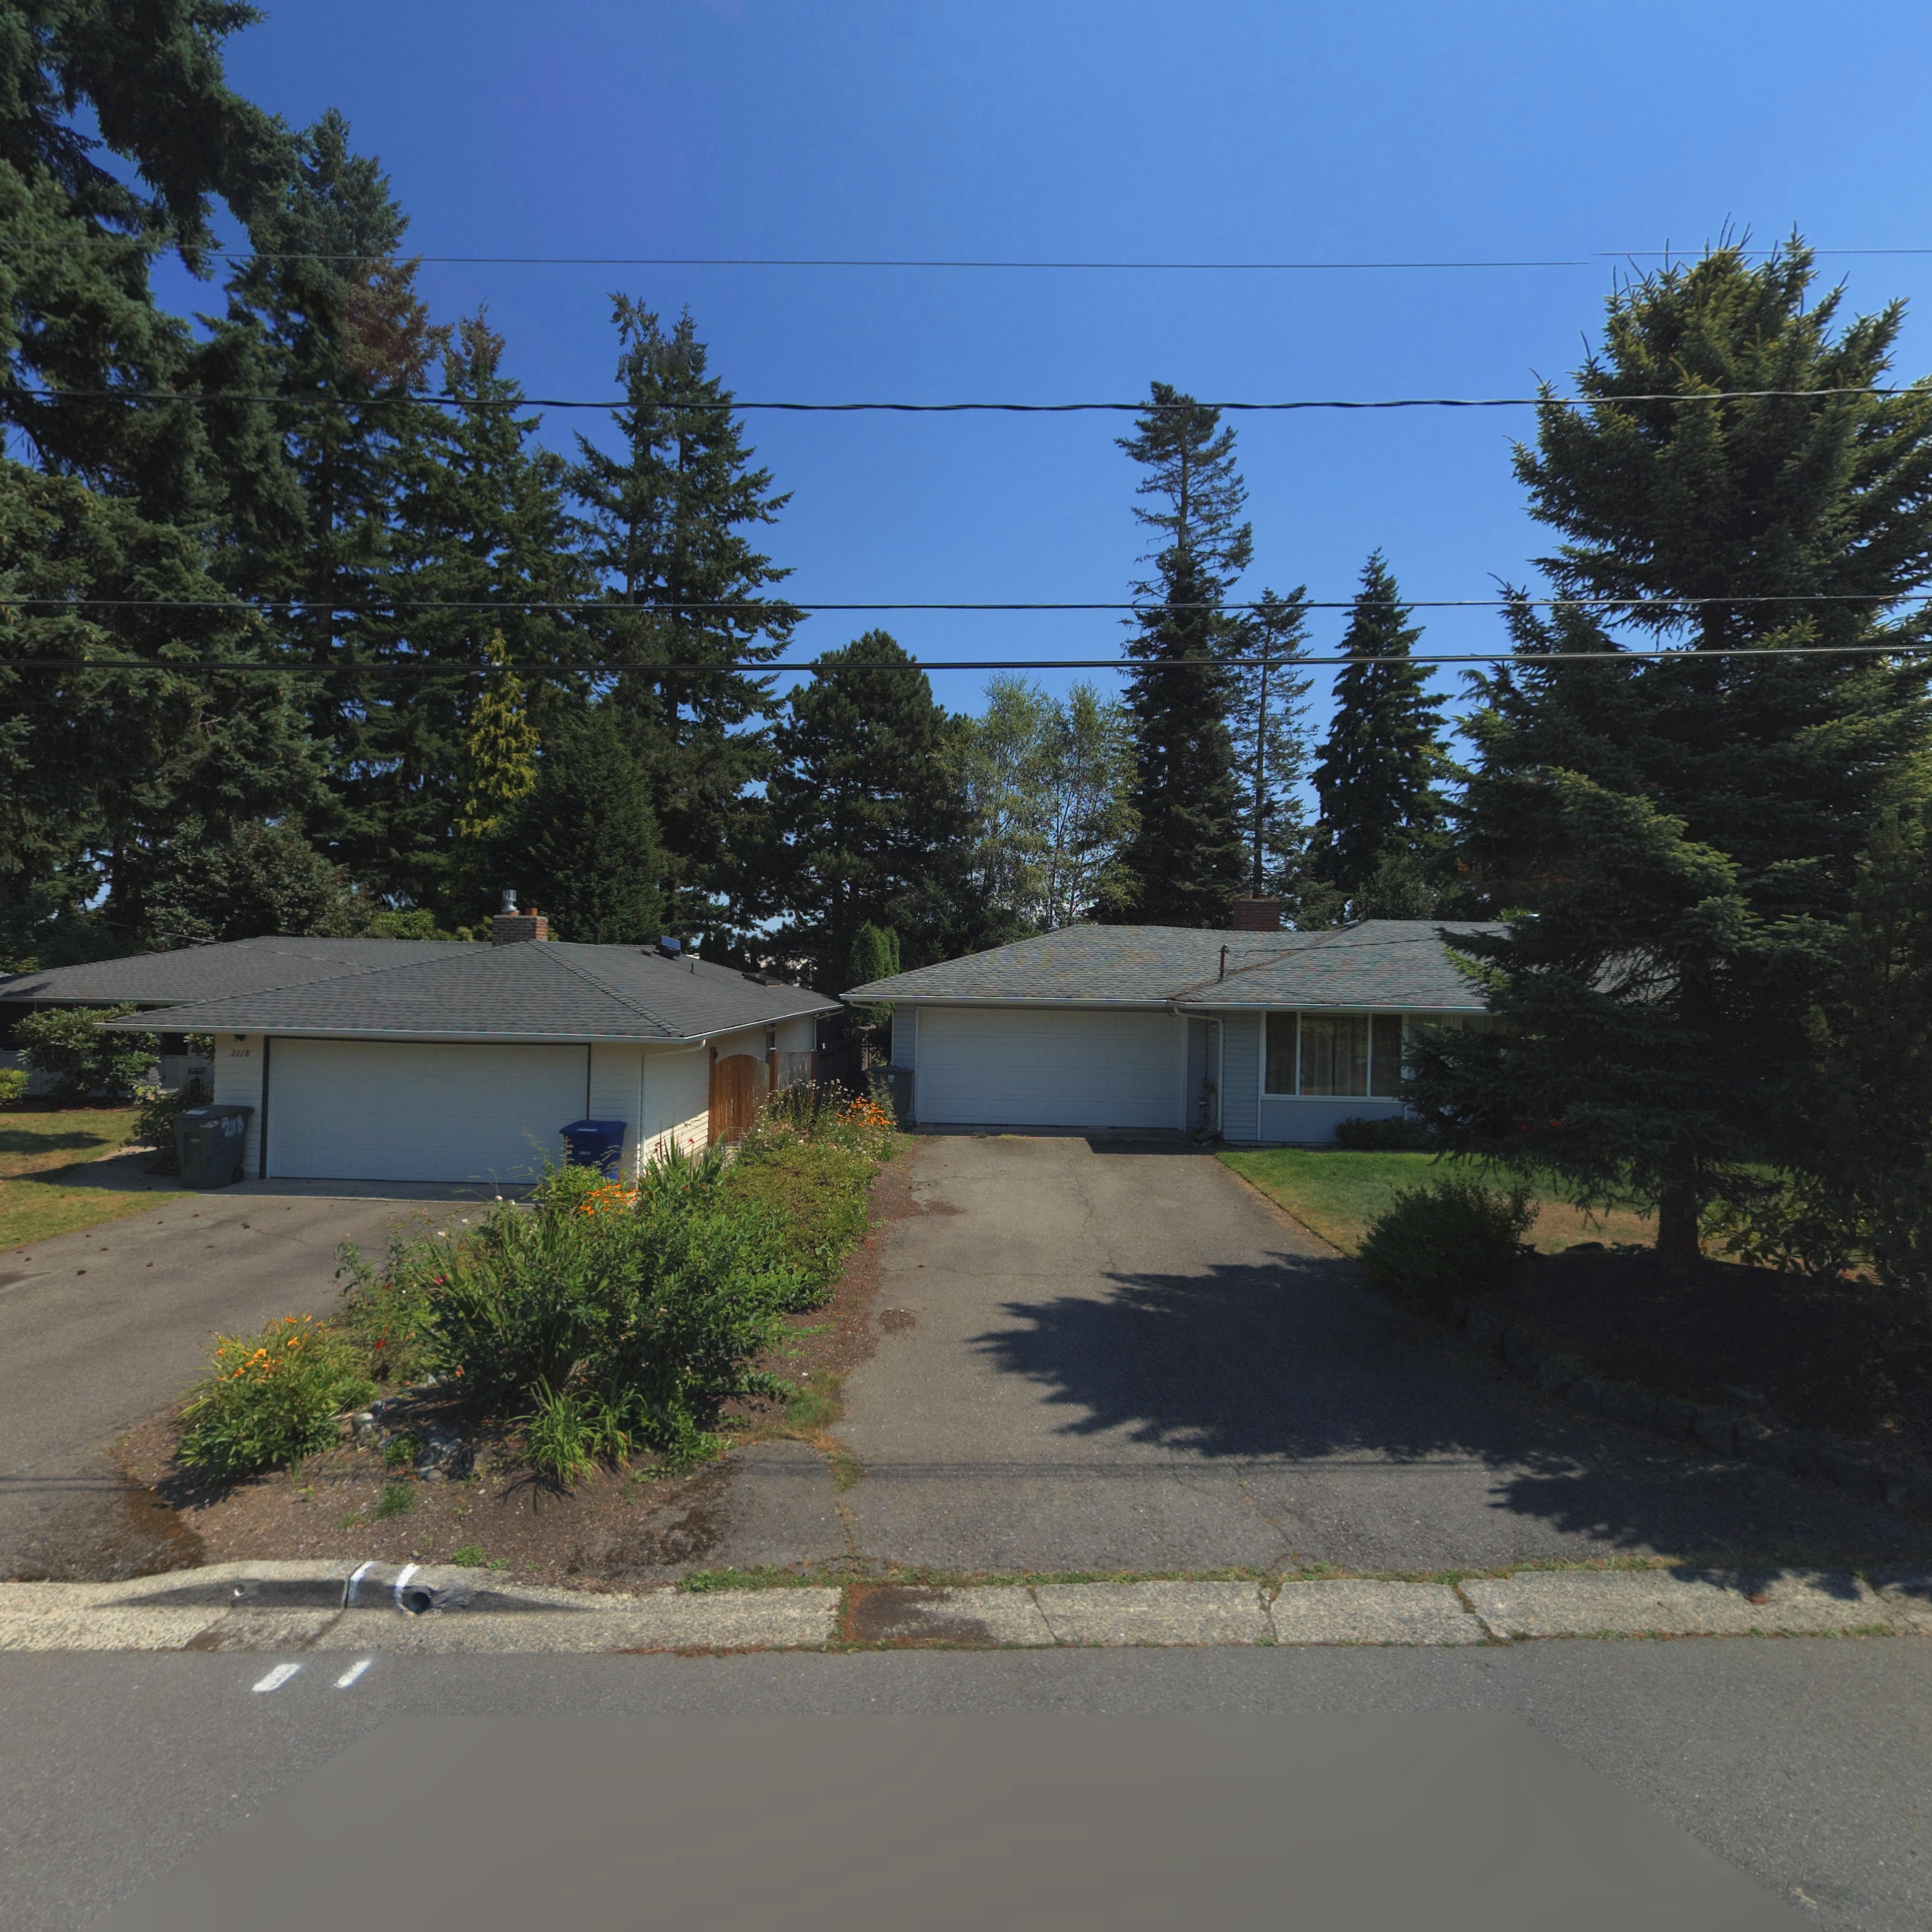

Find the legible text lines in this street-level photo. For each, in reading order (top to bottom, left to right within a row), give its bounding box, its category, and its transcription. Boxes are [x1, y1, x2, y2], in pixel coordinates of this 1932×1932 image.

[231, 1049, 250, 1057] StreetNumber: 2118